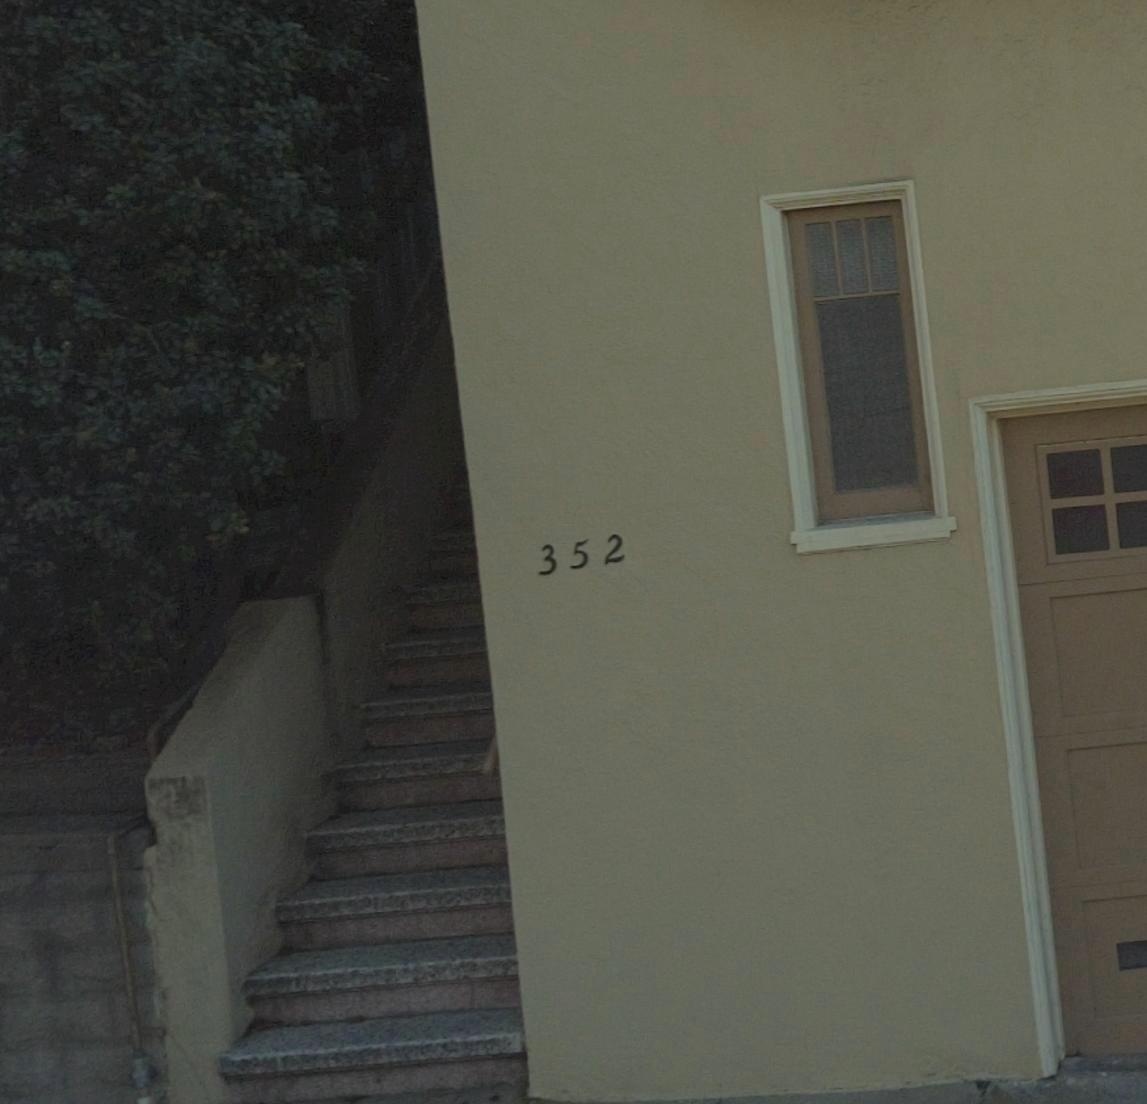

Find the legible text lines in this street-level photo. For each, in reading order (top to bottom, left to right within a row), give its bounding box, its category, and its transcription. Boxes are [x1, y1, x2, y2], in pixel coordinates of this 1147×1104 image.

[538, 532, 628, 577] StreetNumber: 352